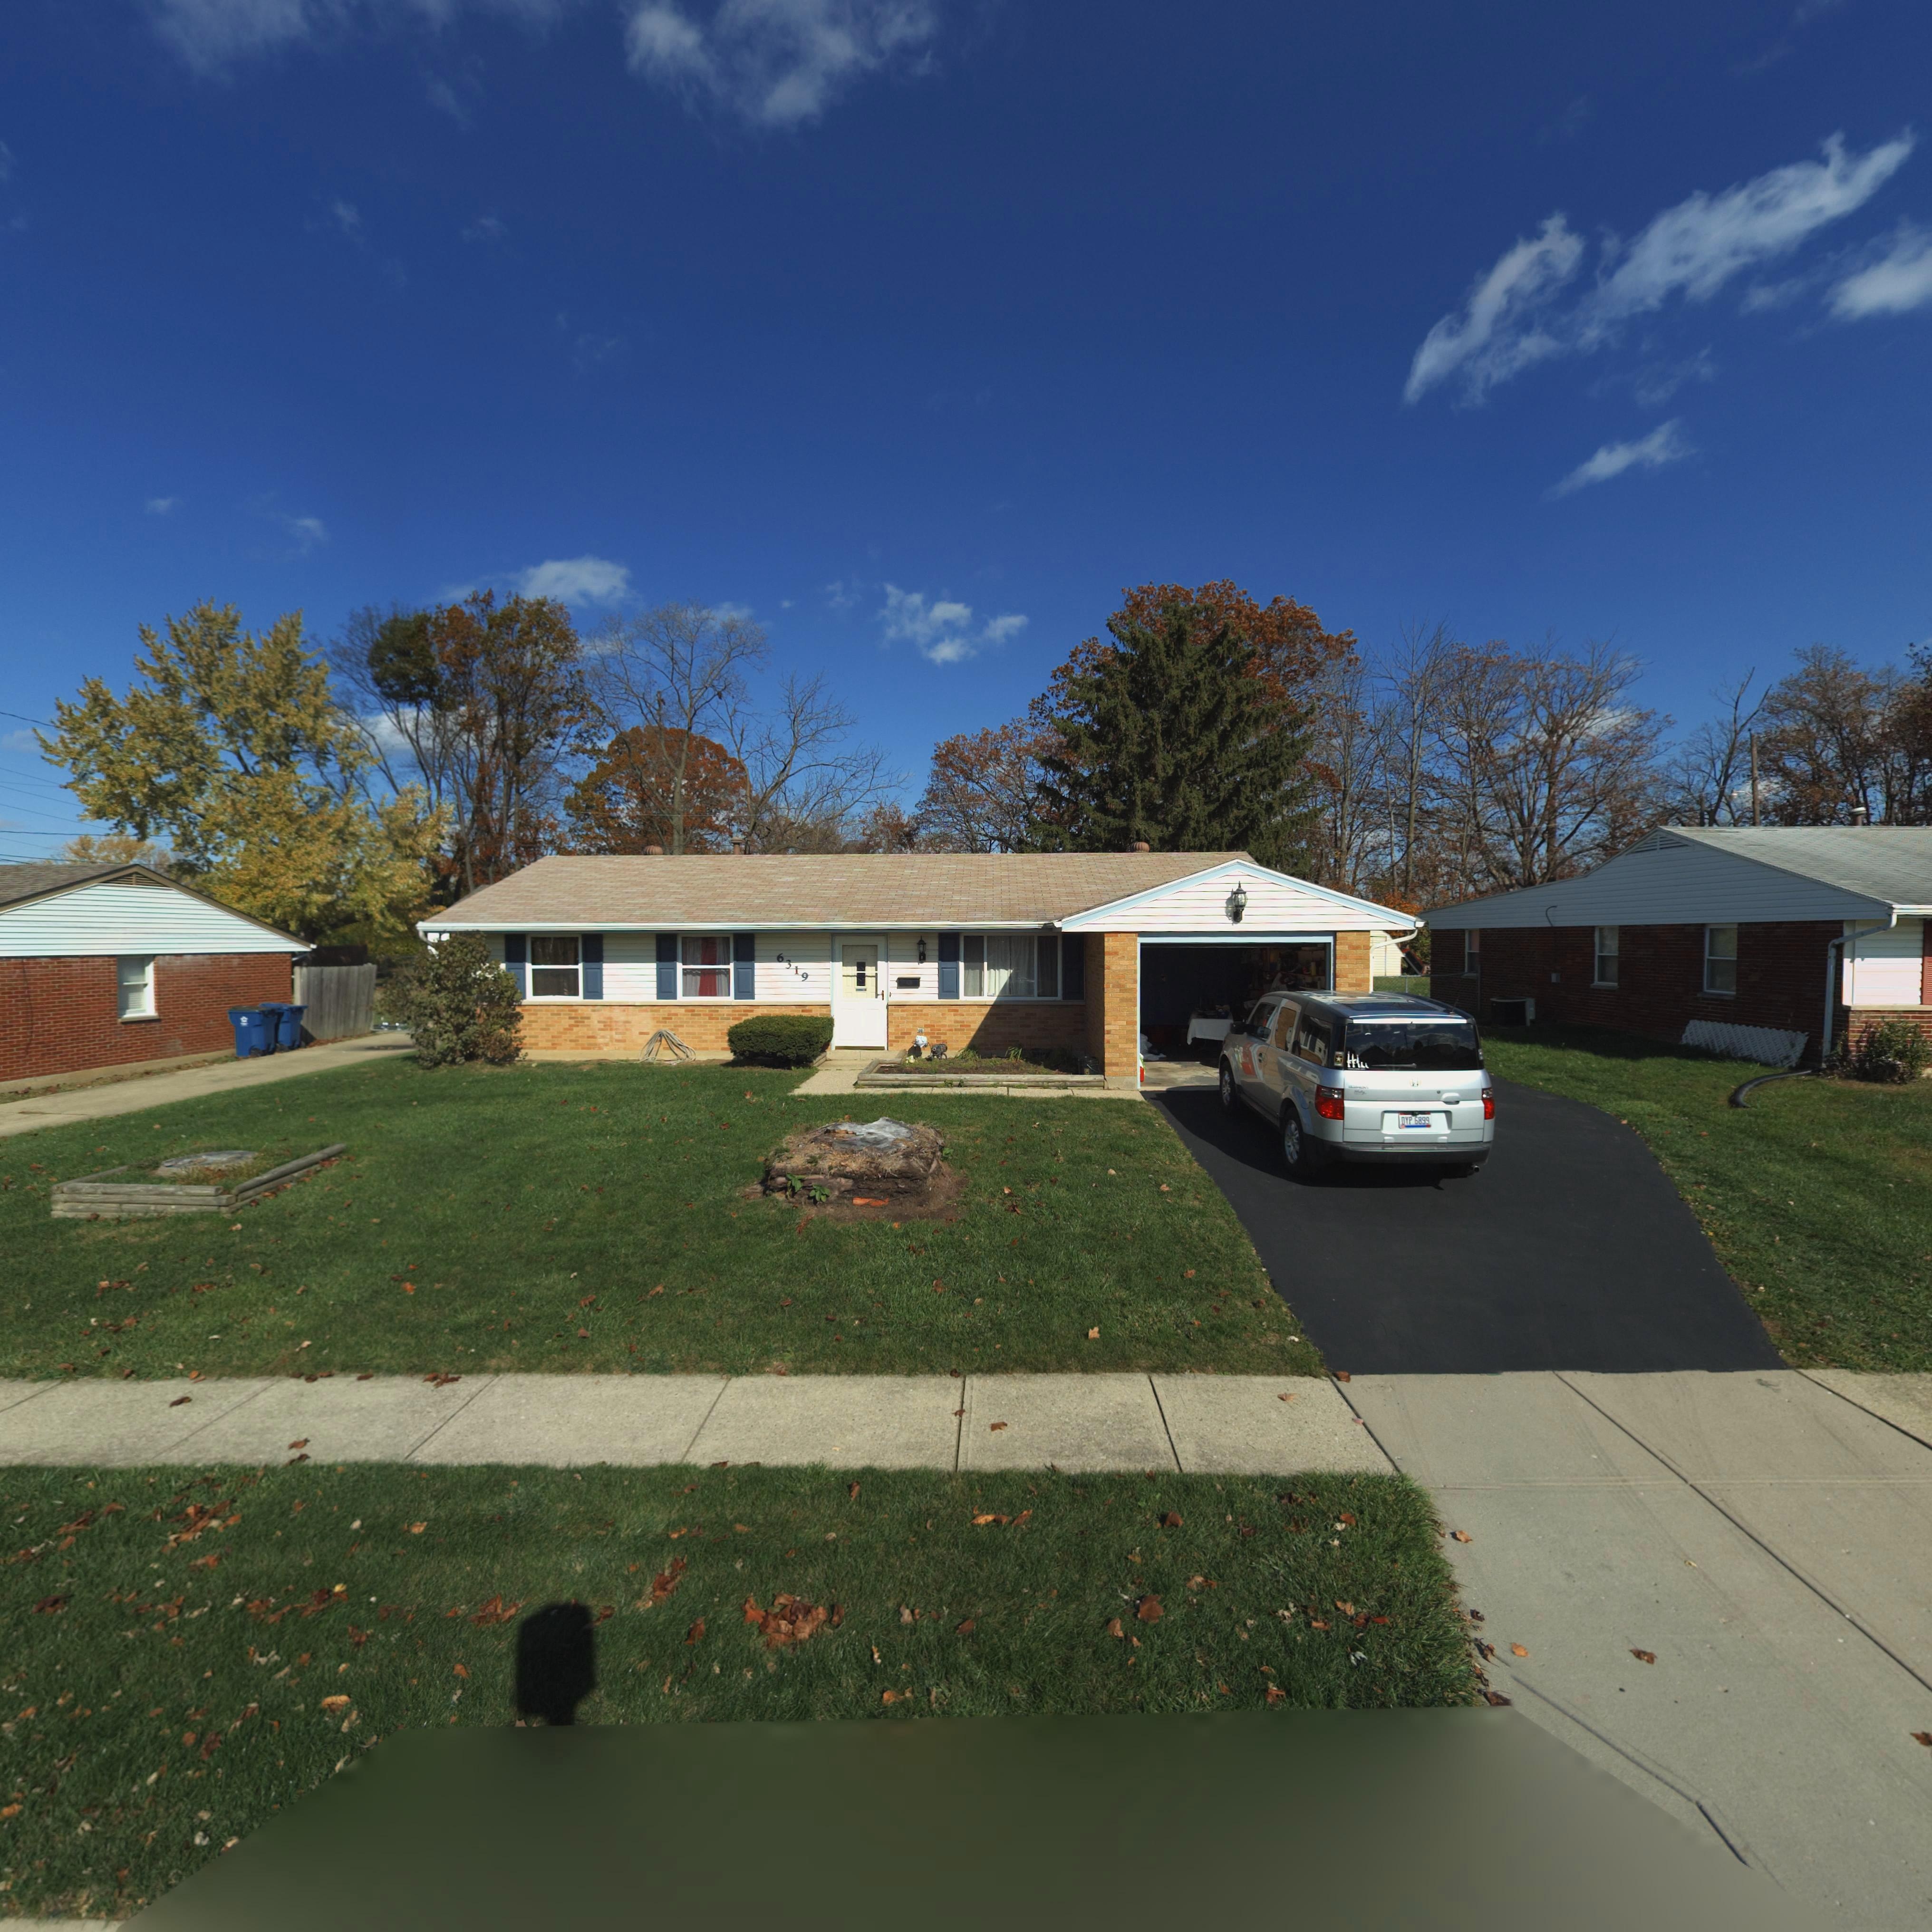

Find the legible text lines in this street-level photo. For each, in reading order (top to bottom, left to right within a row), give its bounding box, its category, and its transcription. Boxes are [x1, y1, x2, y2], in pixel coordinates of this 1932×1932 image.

[776, 952, 809, 983] StreetNumber: 6319